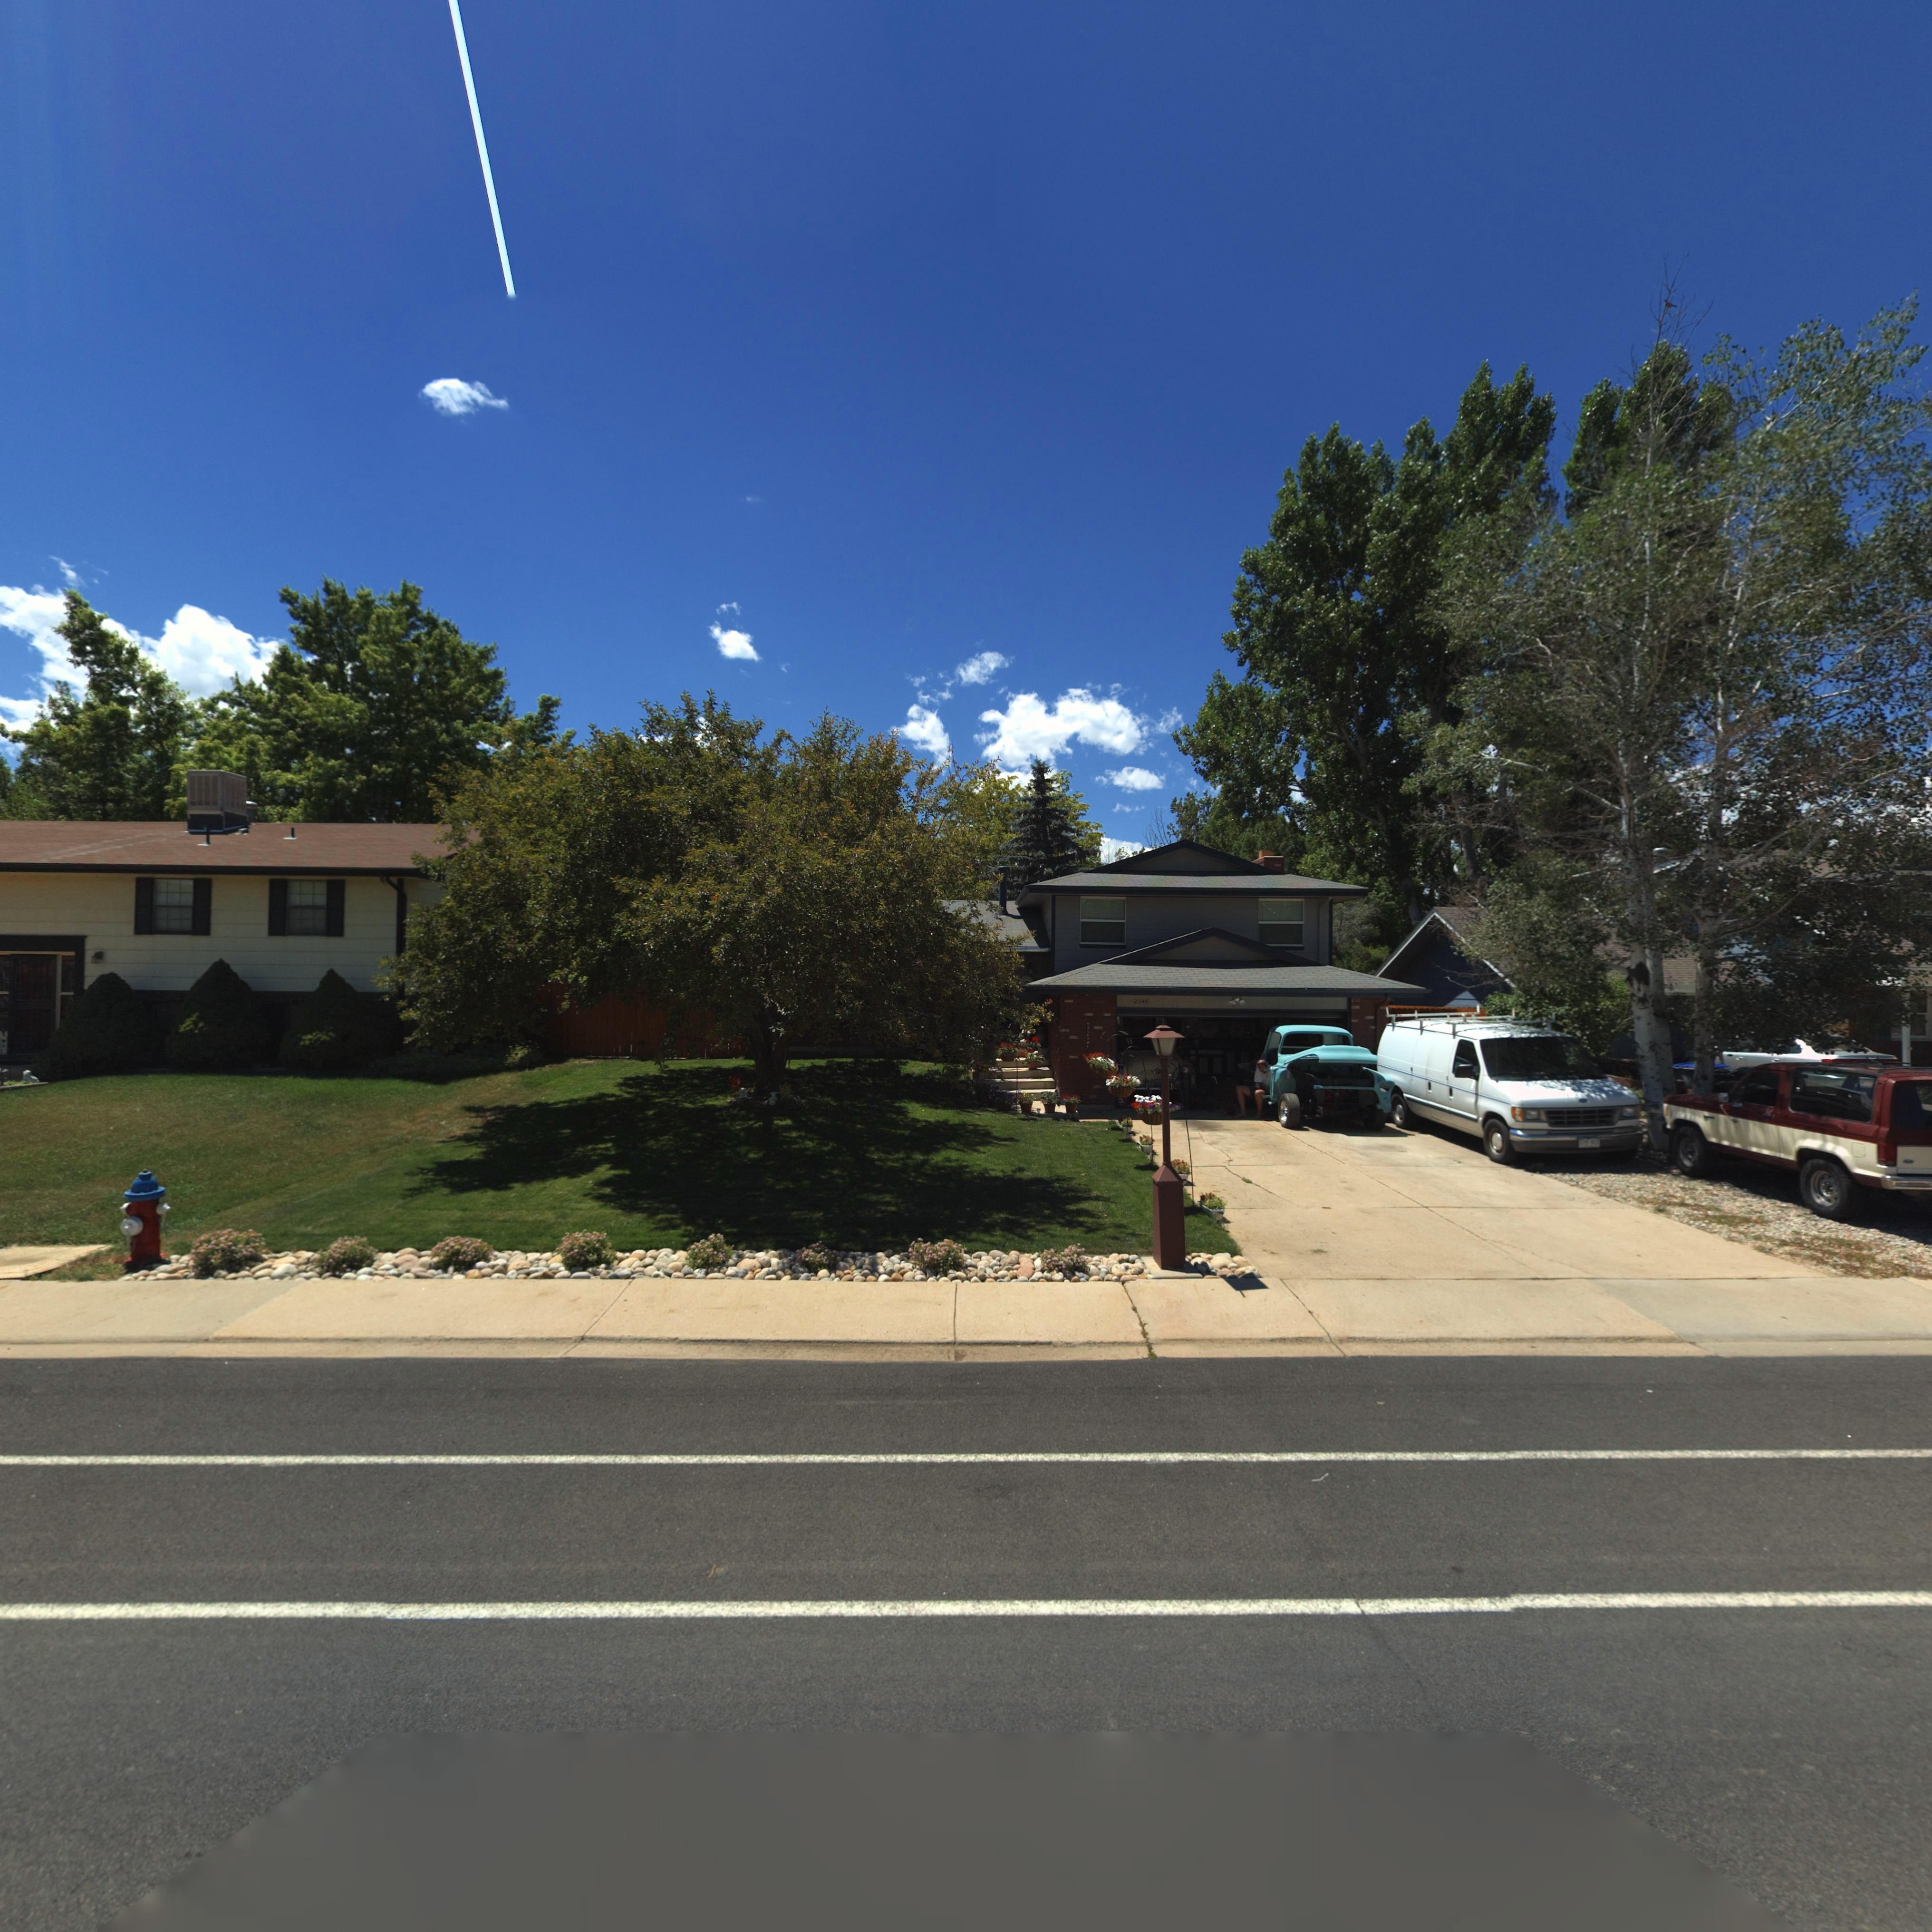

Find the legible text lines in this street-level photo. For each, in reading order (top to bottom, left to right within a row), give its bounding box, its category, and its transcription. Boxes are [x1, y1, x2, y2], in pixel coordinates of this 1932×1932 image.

[1133, 998, 1148, 1004] StreetNumber: 2345